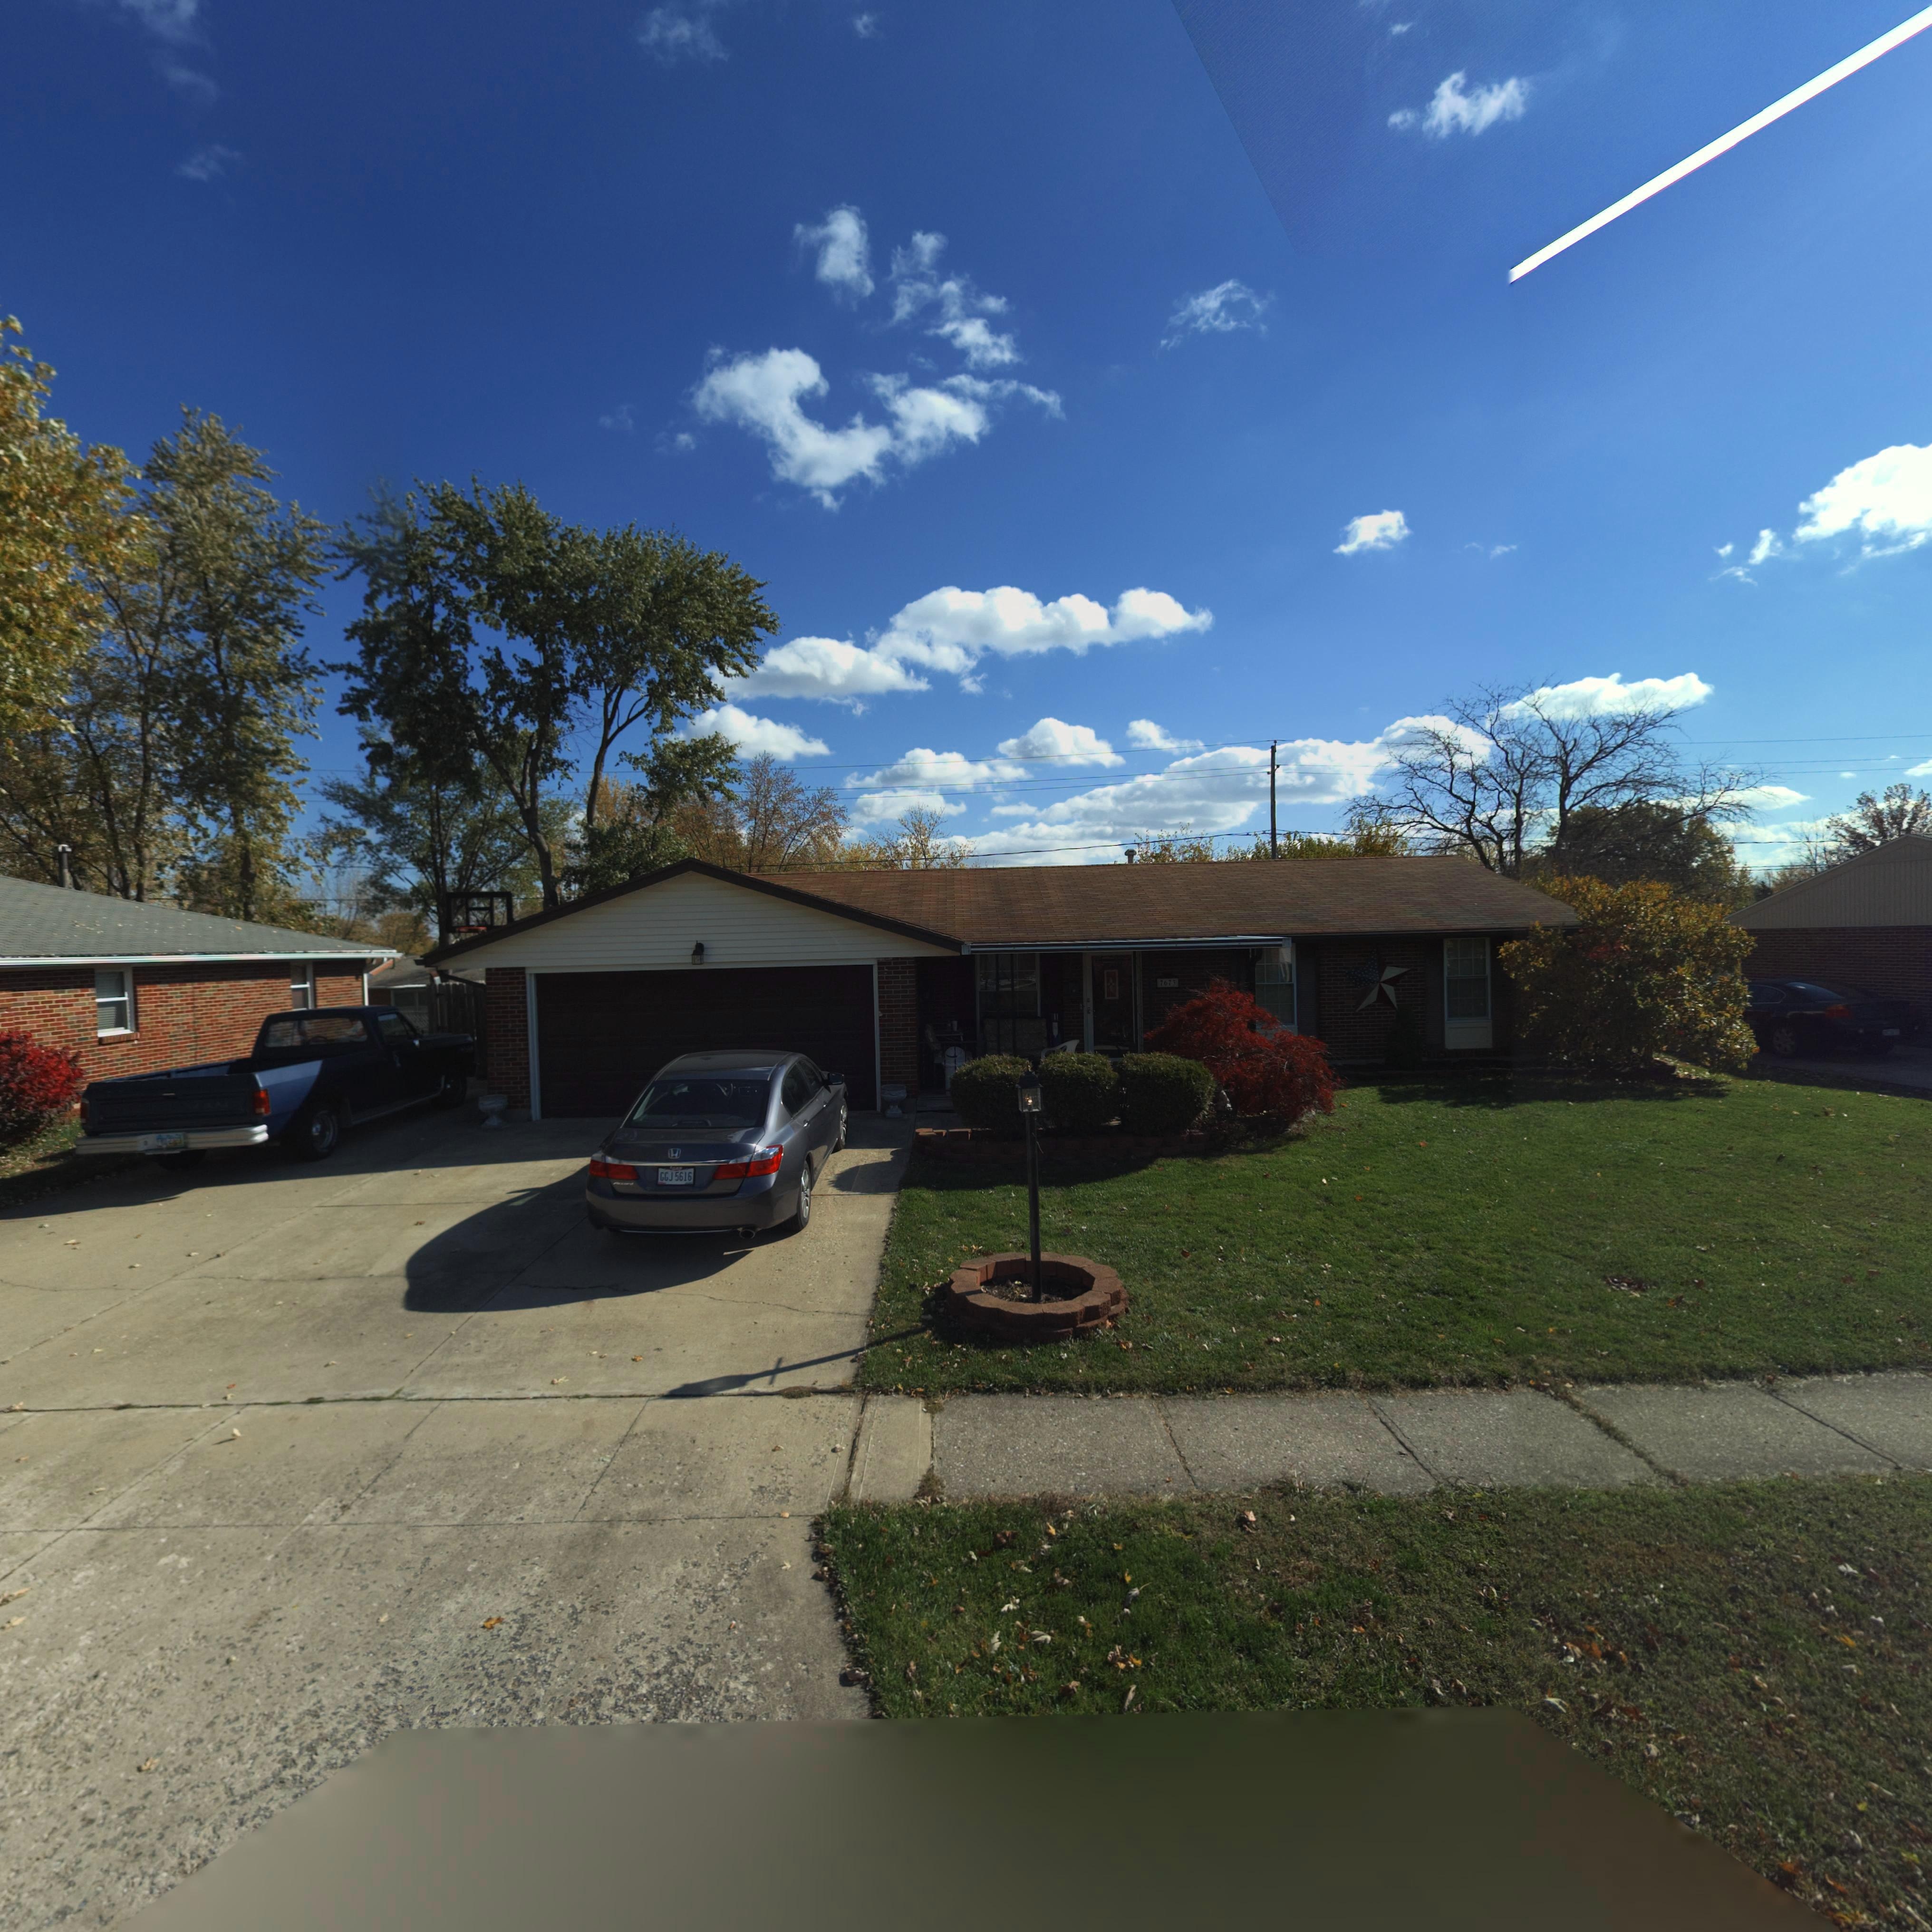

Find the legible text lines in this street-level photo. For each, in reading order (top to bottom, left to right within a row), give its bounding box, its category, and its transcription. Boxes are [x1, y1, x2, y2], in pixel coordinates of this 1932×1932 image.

[1159, 978, 1177, 987] StreetNumber: 7673